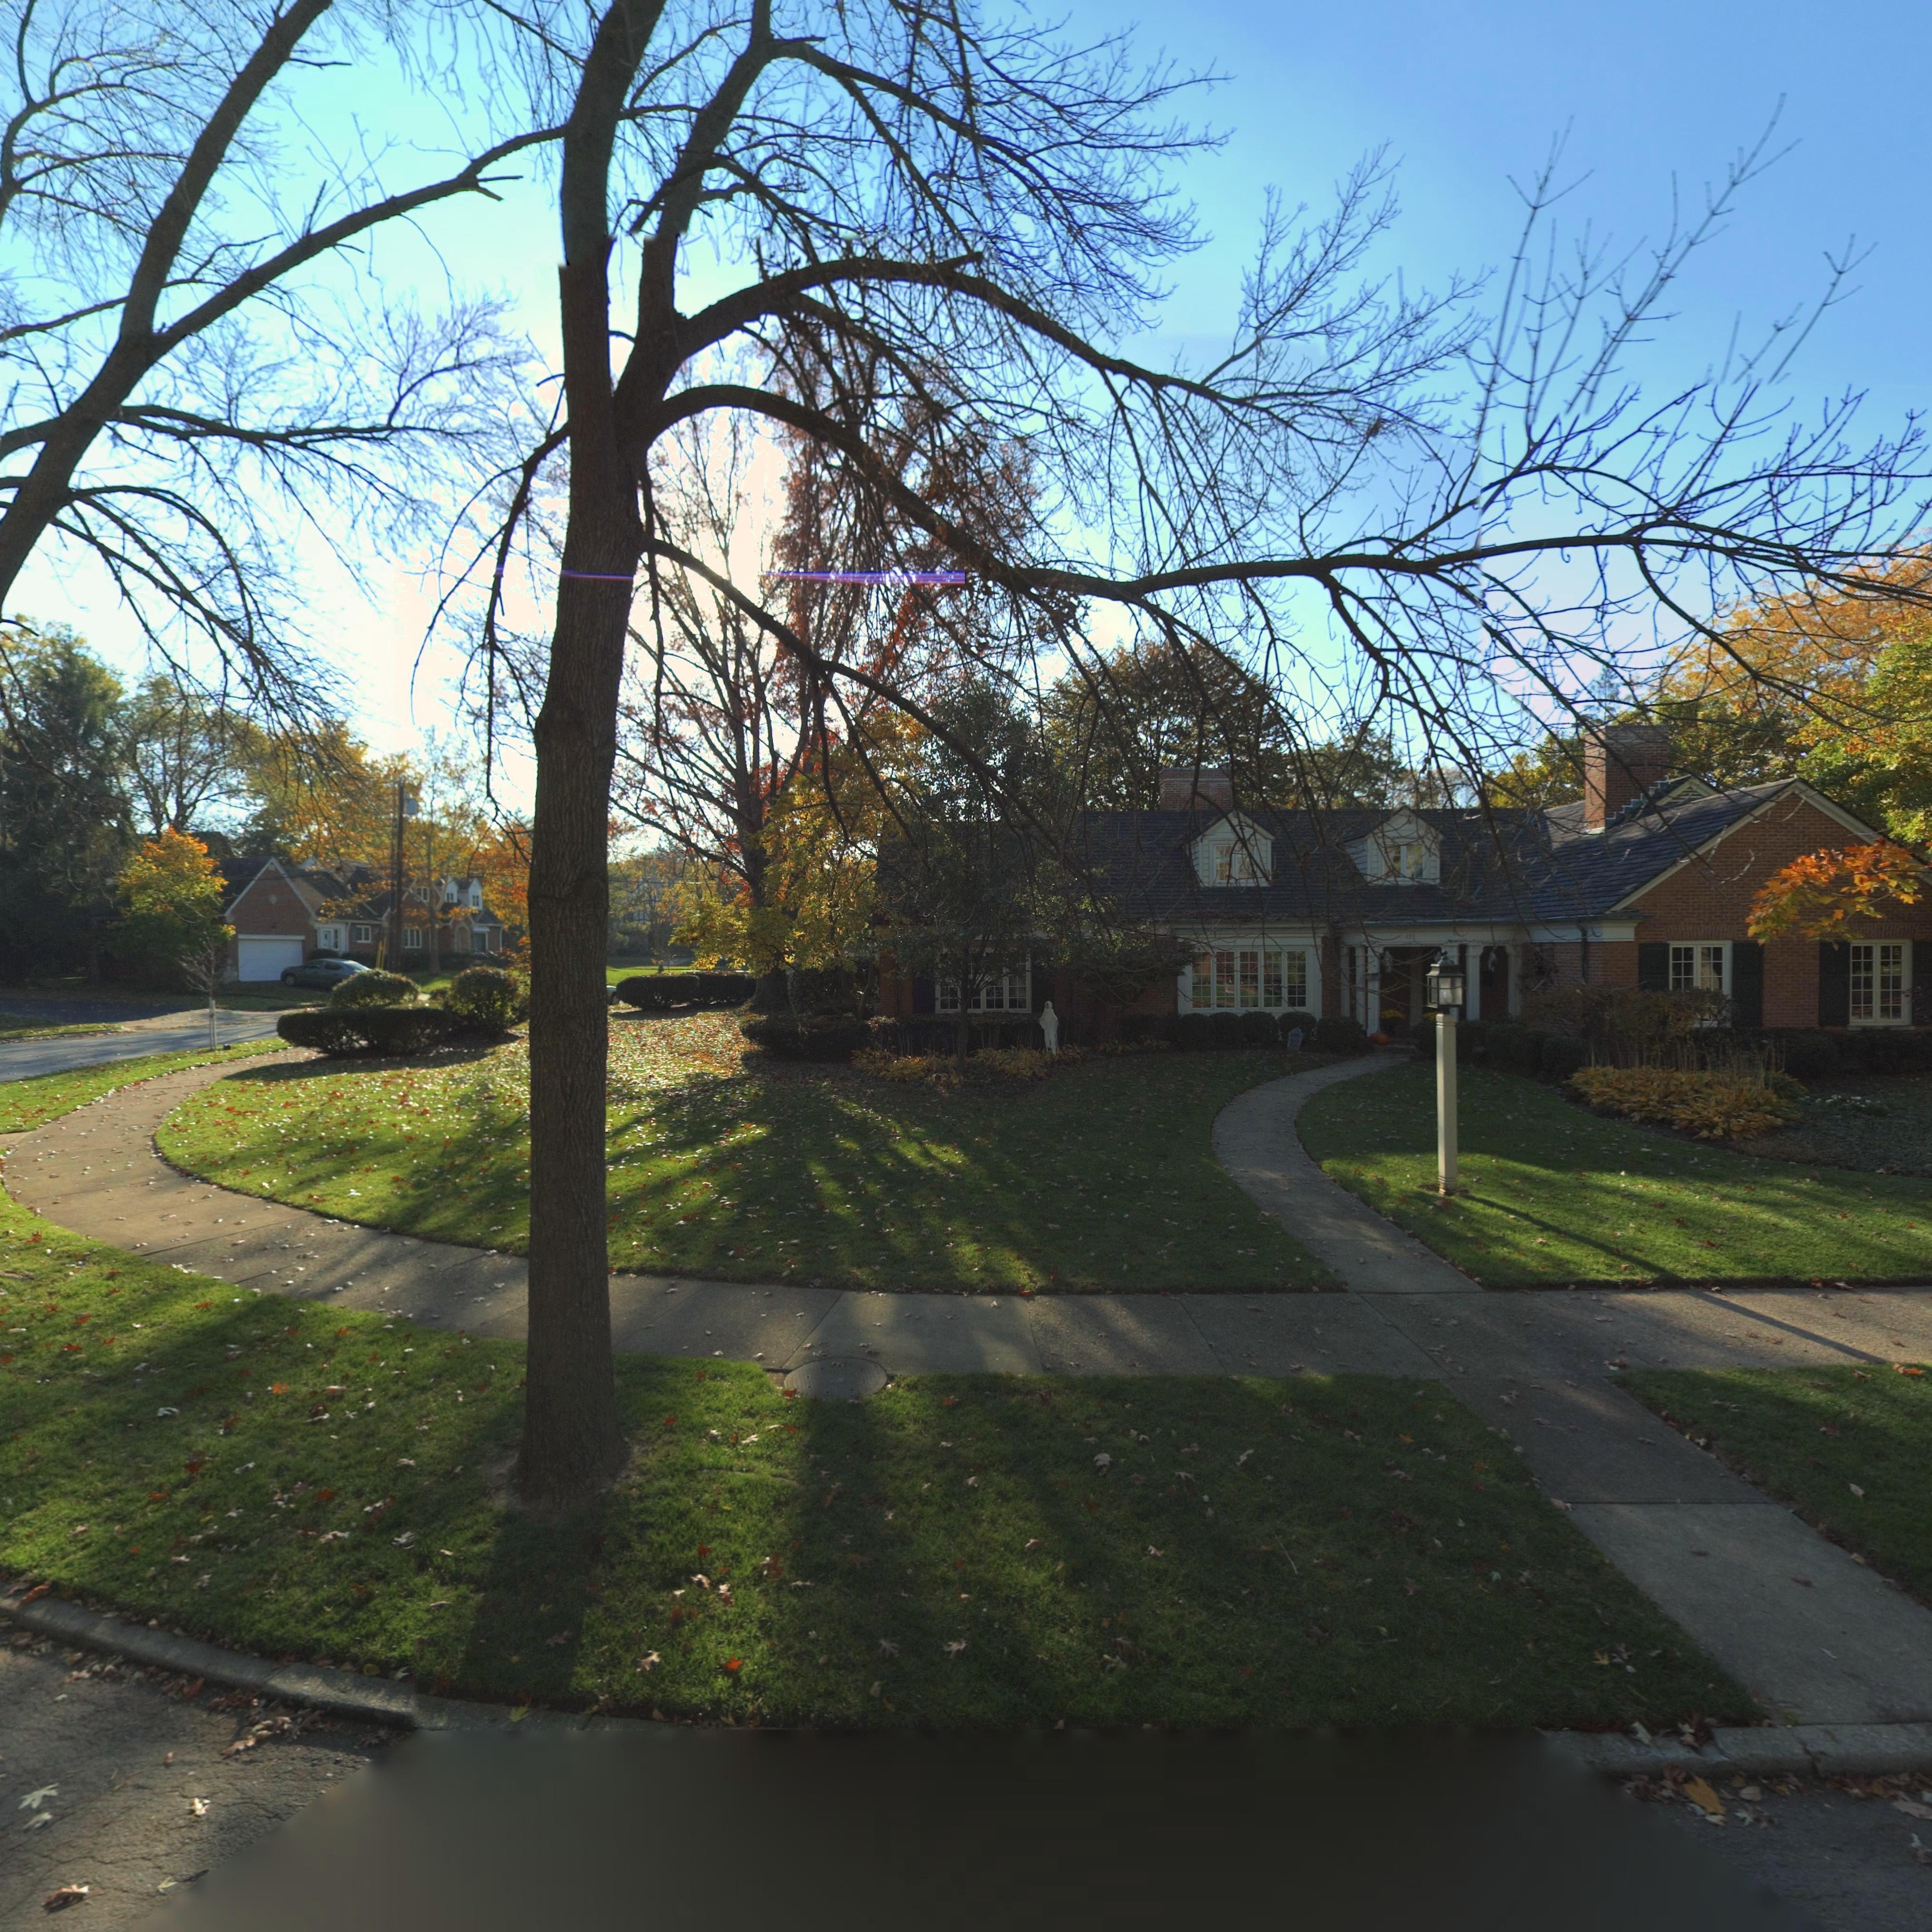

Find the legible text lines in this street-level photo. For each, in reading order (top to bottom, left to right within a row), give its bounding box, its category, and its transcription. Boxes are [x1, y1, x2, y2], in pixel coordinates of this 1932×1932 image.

[1403, 934, 1416, 940] StreetNumber: 415